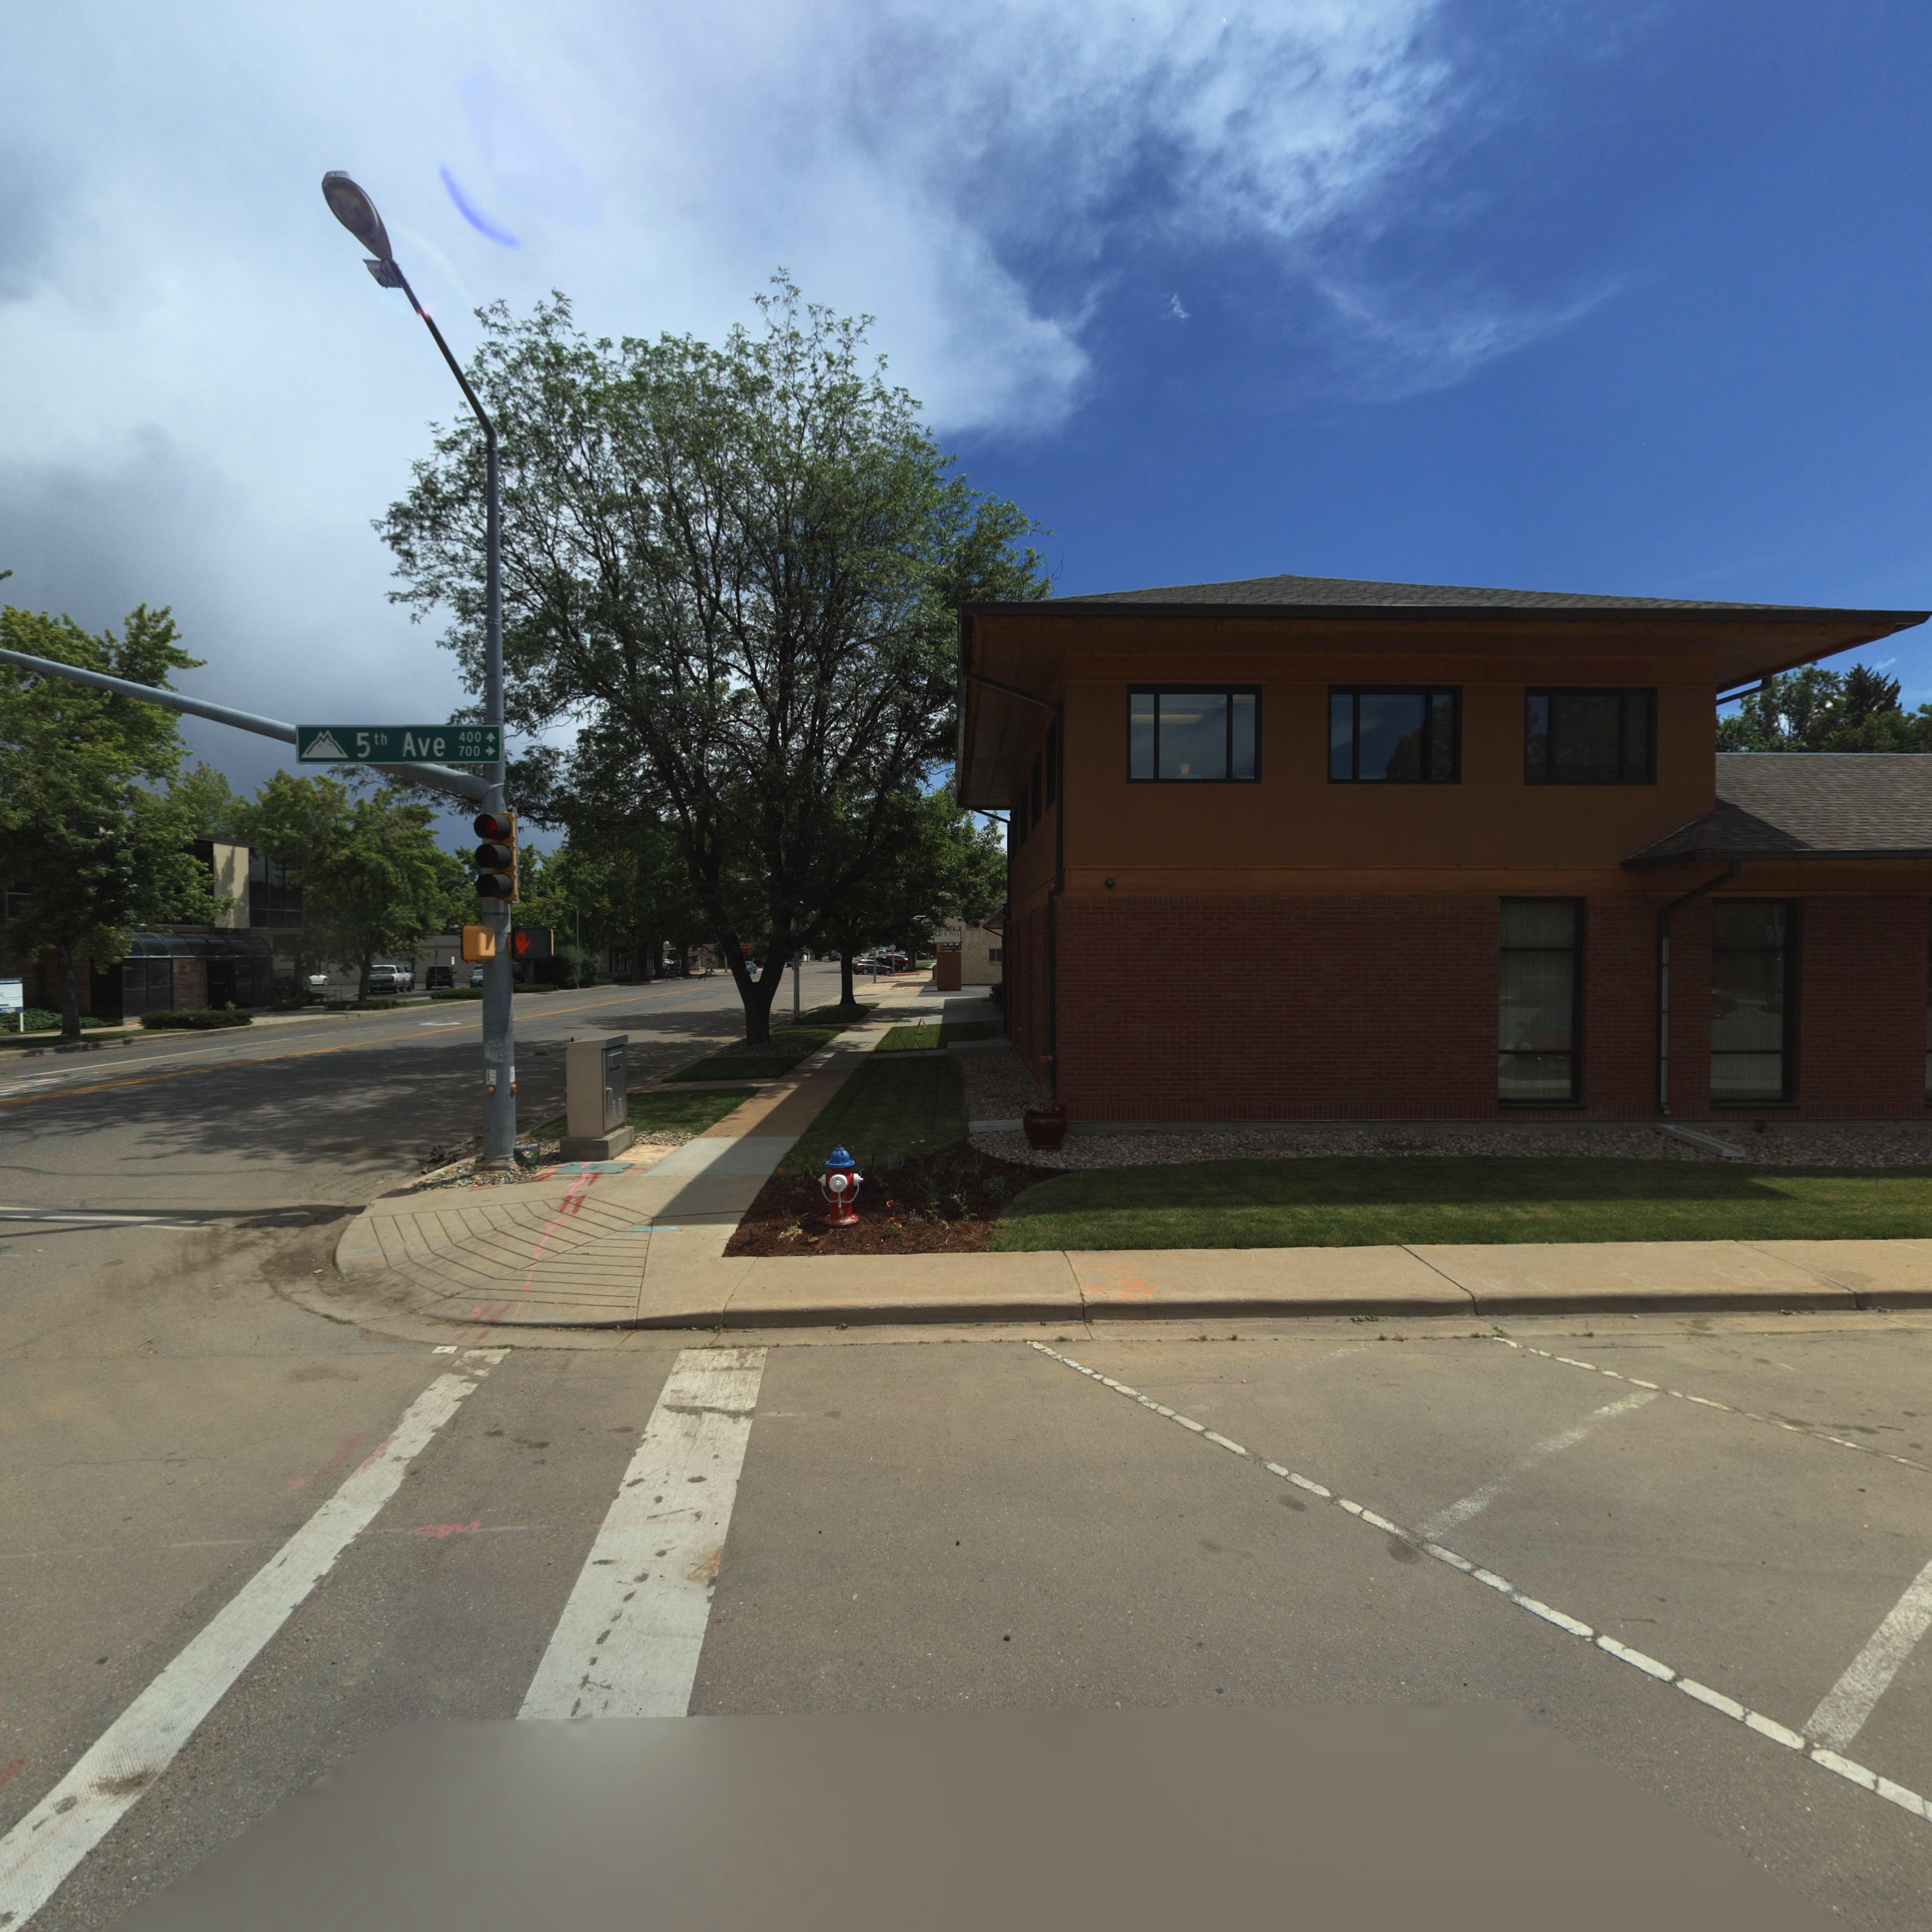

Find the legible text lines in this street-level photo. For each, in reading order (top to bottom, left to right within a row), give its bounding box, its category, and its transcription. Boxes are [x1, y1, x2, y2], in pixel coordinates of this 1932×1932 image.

[458, 731, 481, 742] StreetNumberRange: 400
[356, 731, 446, 758] StreetName: 5th Ave
[458, 745, 497, 756] StreetNumberRange: 700->